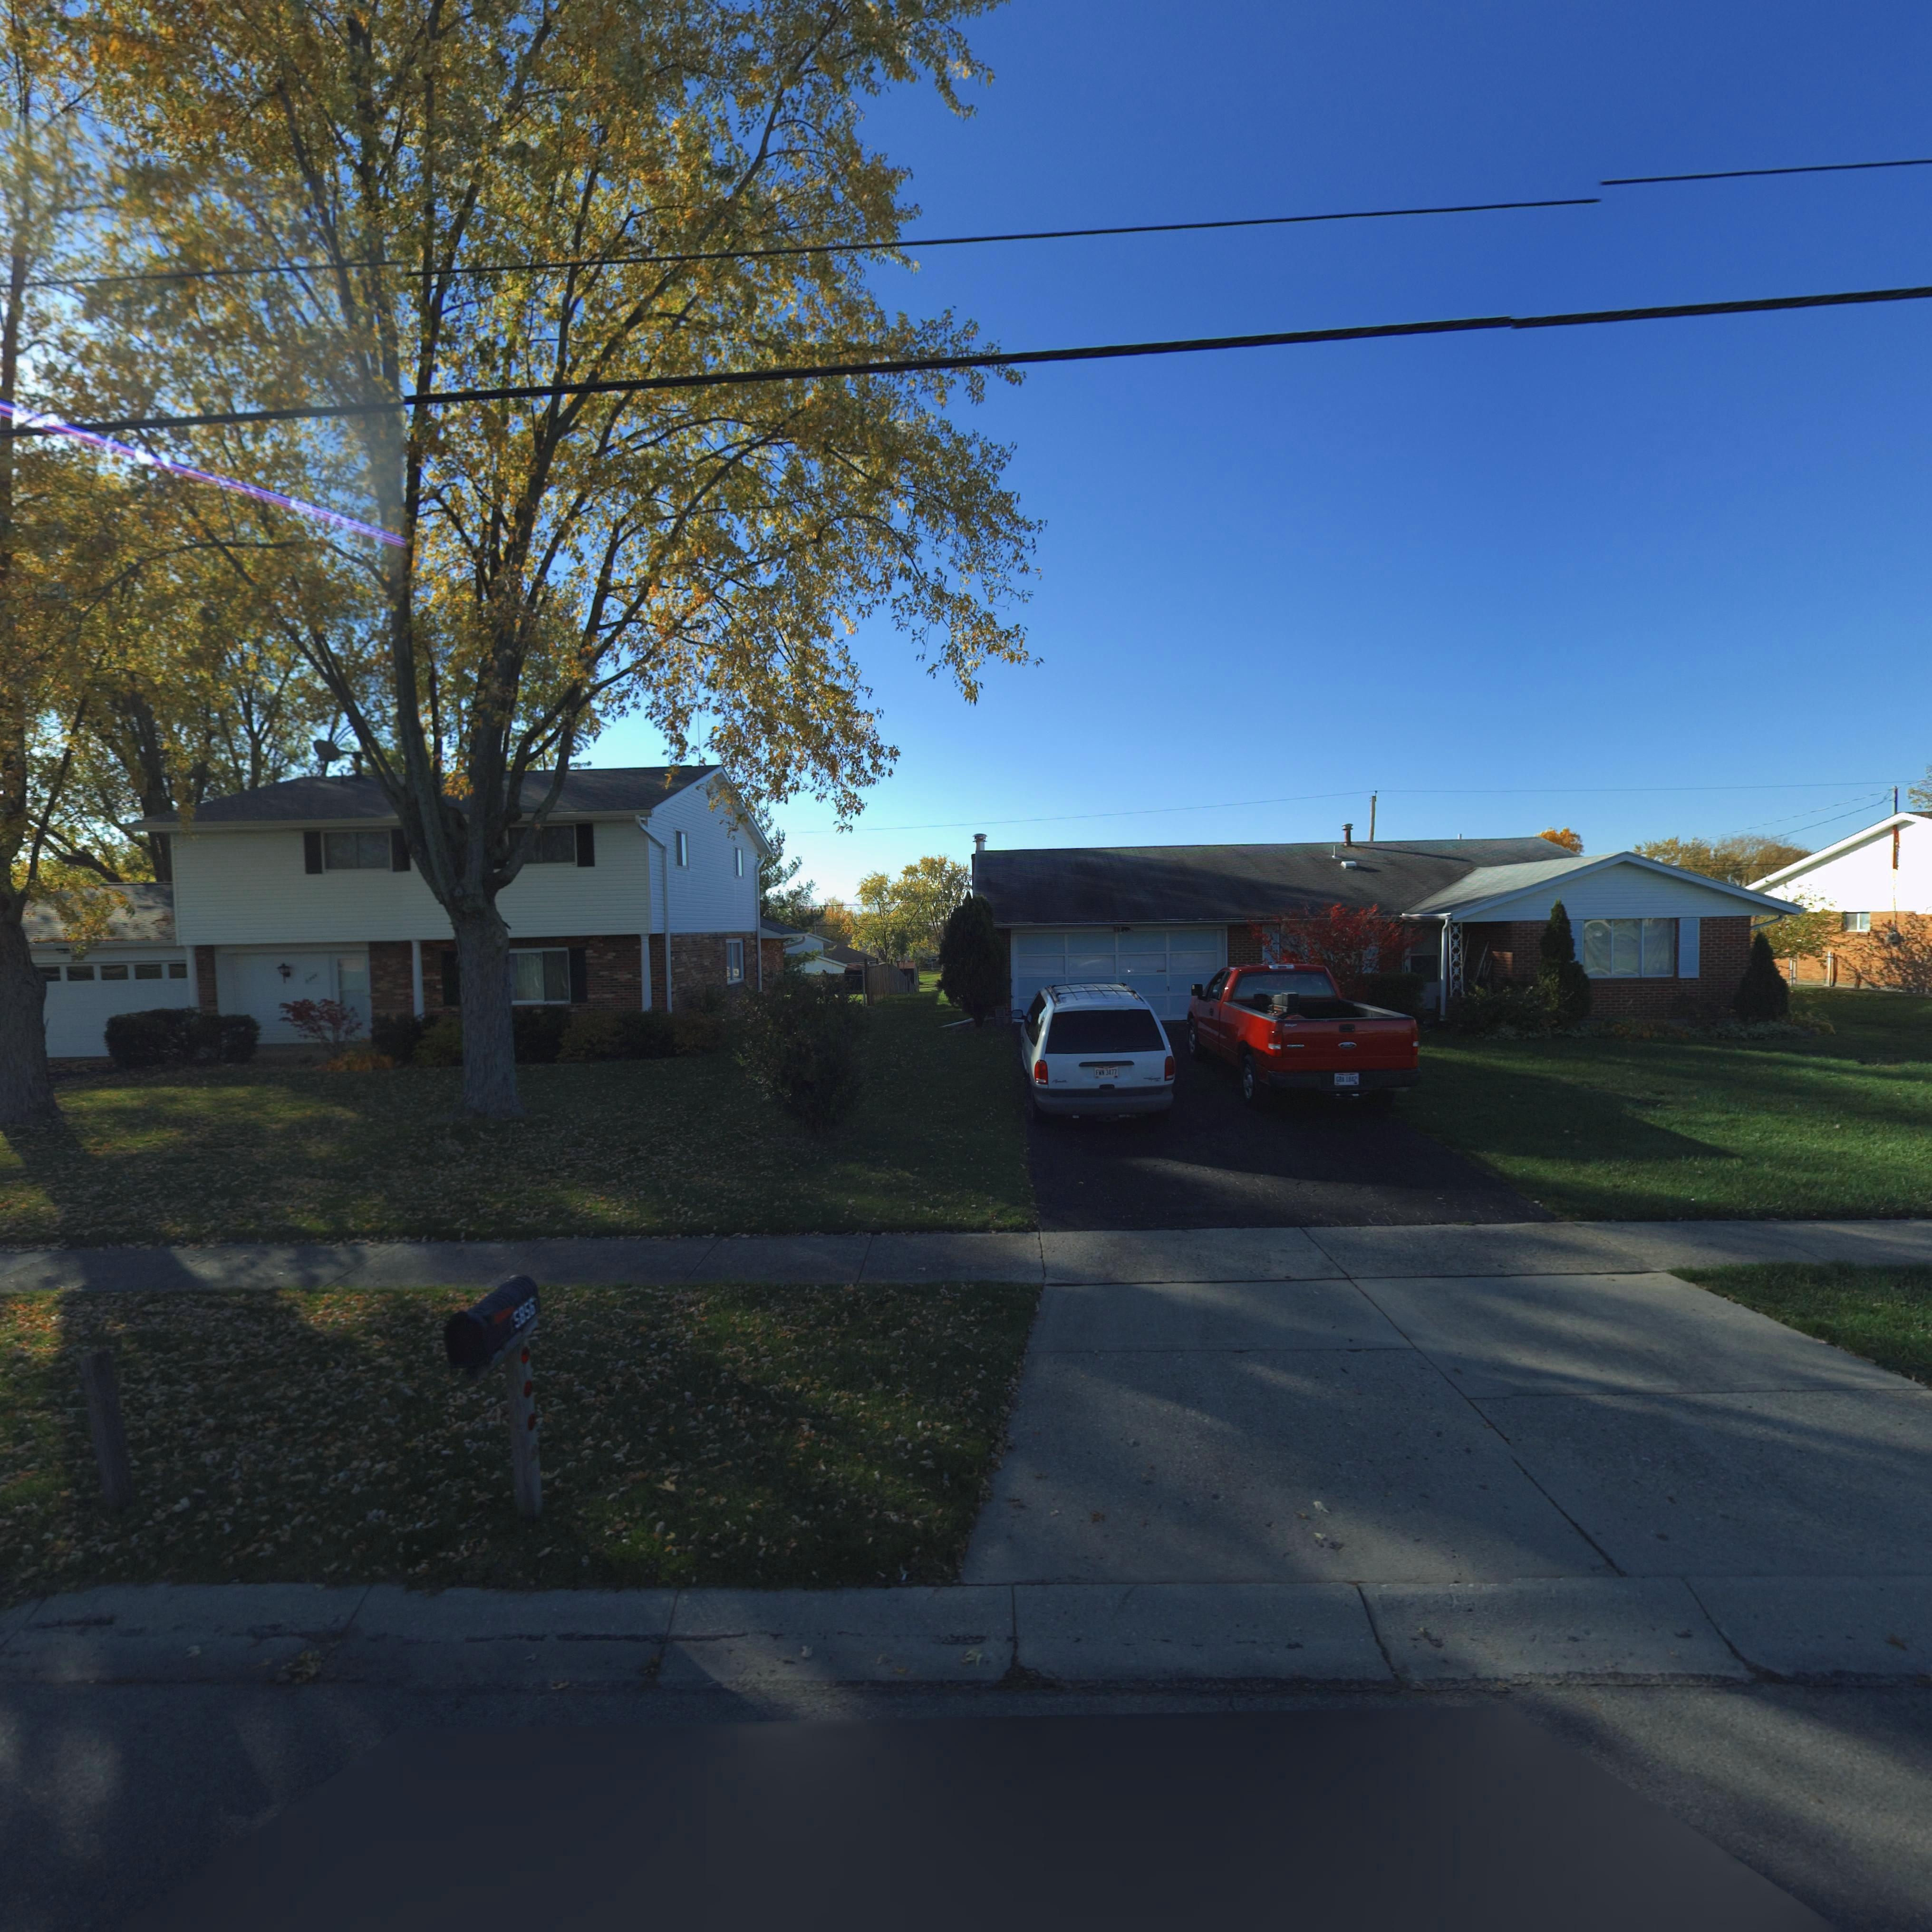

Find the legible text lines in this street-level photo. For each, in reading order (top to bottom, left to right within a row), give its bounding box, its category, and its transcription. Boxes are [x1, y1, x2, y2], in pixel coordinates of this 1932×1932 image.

[512, 1296, 537, 1330] StreetNumber: 5856